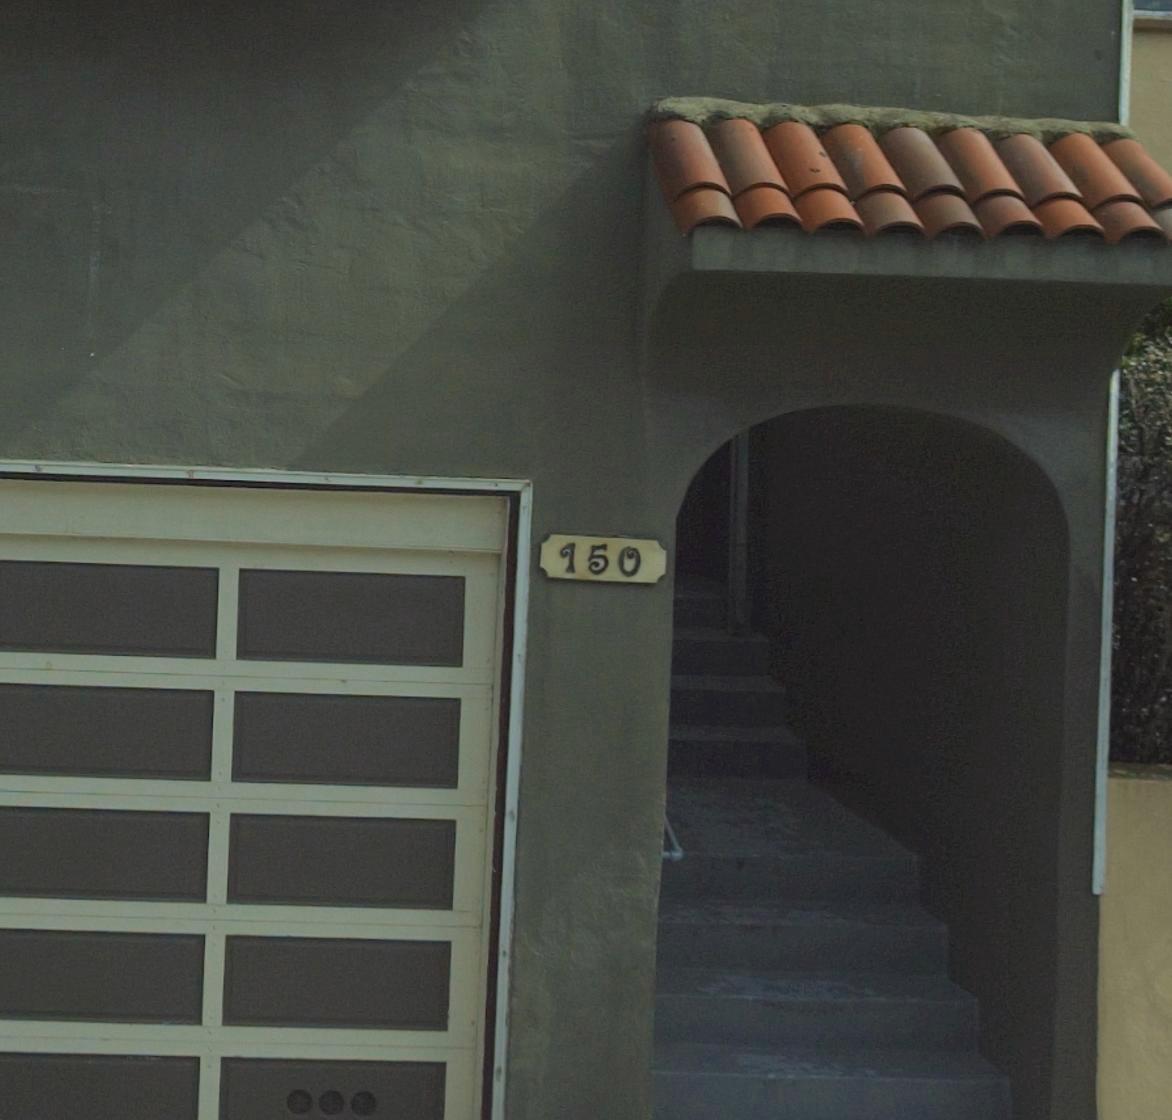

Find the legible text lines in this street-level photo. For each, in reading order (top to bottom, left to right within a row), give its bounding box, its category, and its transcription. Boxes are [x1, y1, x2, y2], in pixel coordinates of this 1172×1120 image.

[555, 539, 646, 581] StreetNumber: 150